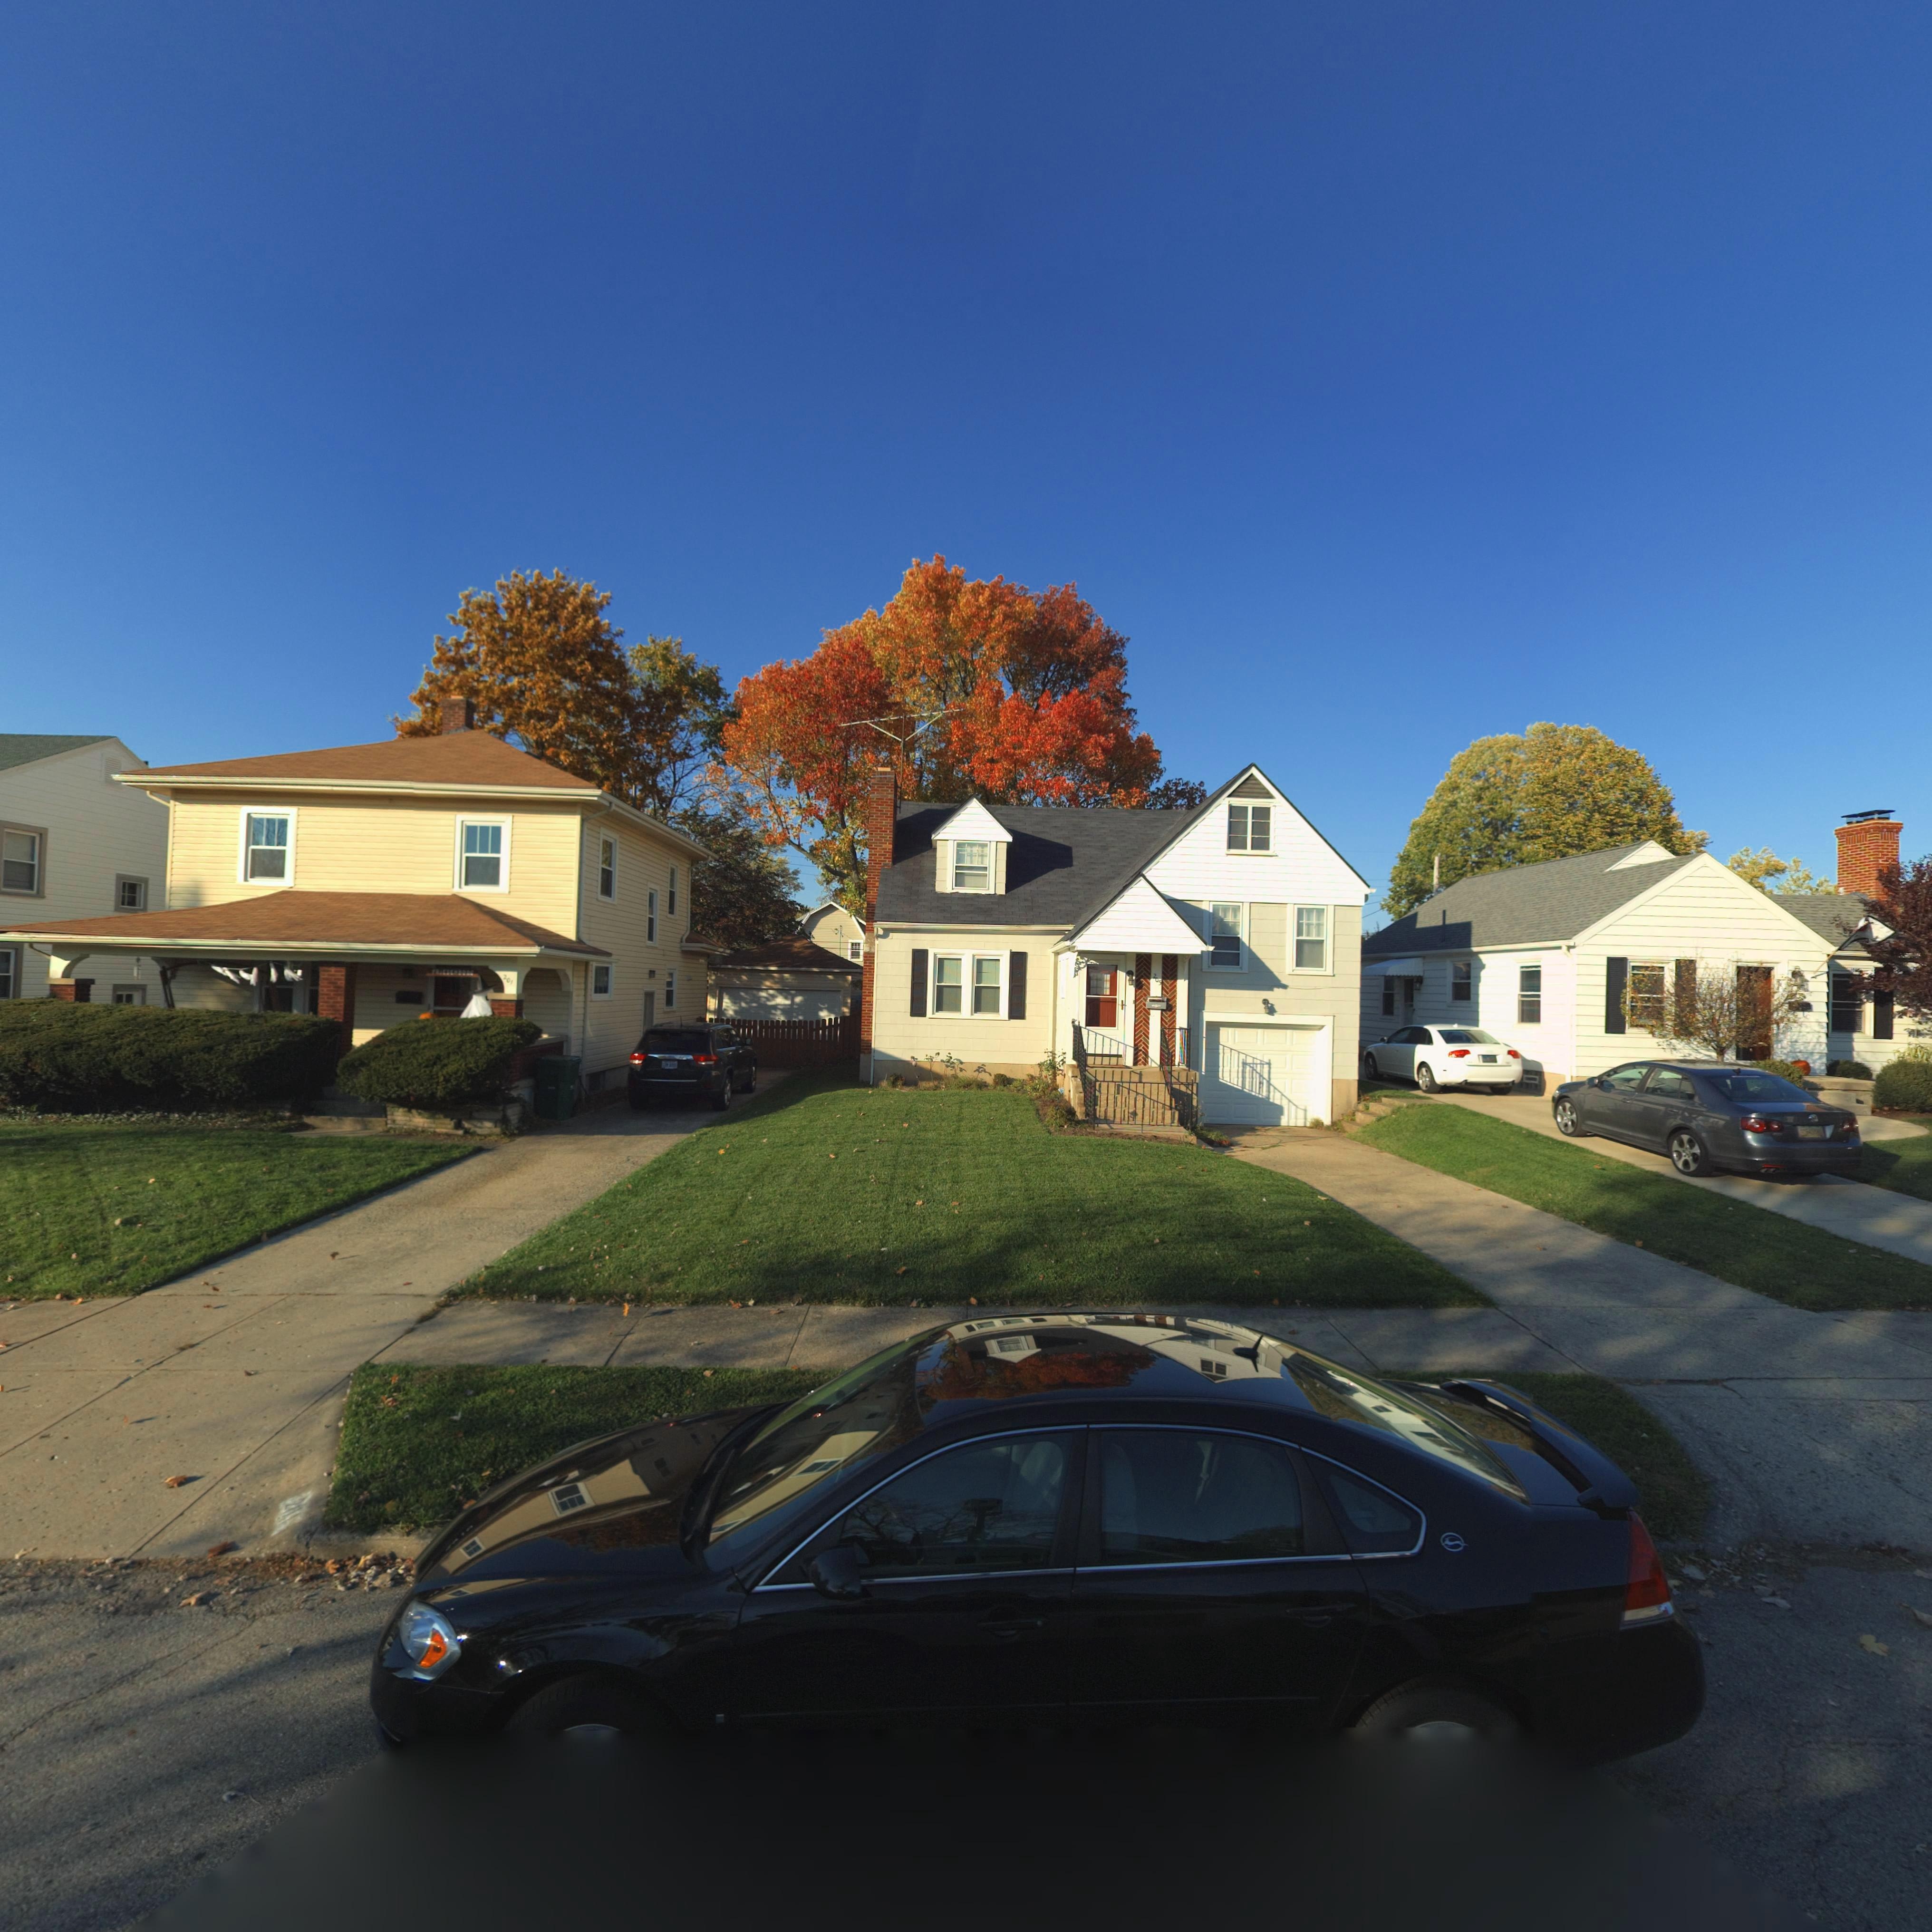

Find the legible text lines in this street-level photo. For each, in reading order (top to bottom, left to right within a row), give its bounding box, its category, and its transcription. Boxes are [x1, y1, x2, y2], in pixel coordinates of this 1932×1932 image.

[502, 972, 516, 986] StreetNumber: 201
[1150, 971, 1164, 987] StreetNumber: 205